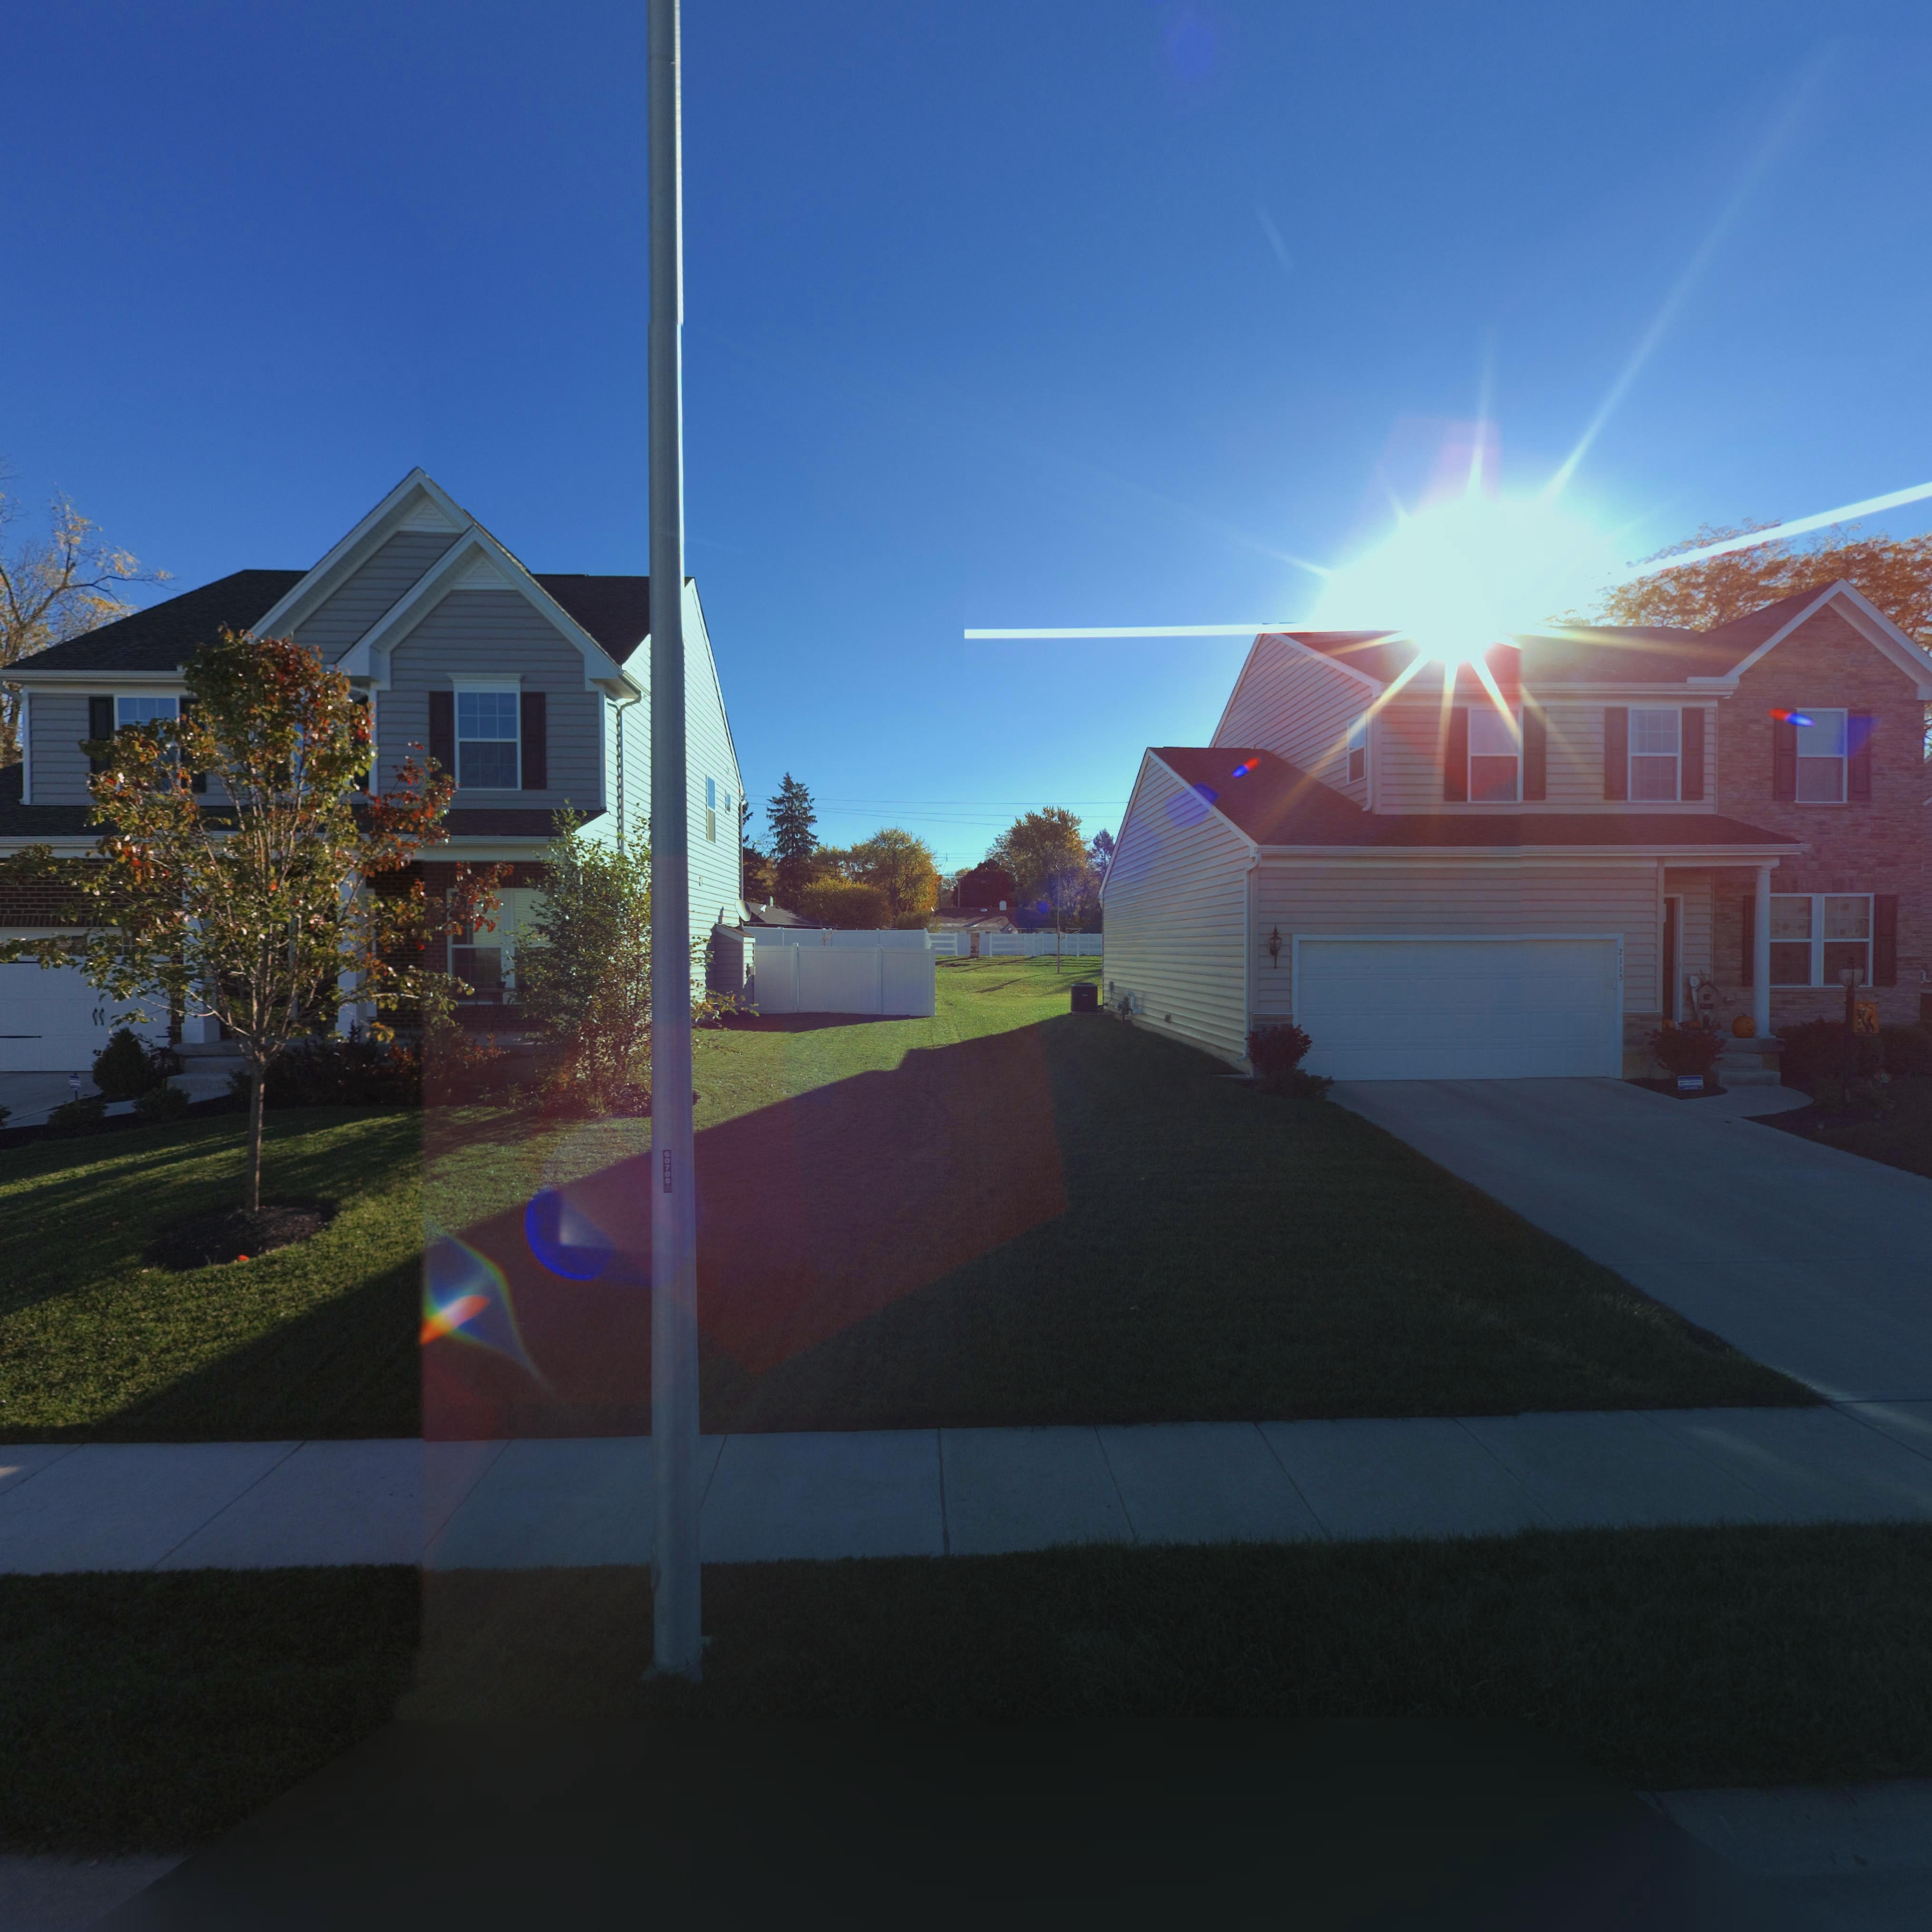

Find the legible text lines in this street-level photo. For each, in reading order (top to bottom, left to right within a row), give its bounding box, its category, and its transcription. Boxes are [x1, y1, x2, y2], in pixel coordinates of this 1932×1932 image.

[1617, 947, 1624, 982] StreetNumber: 2115